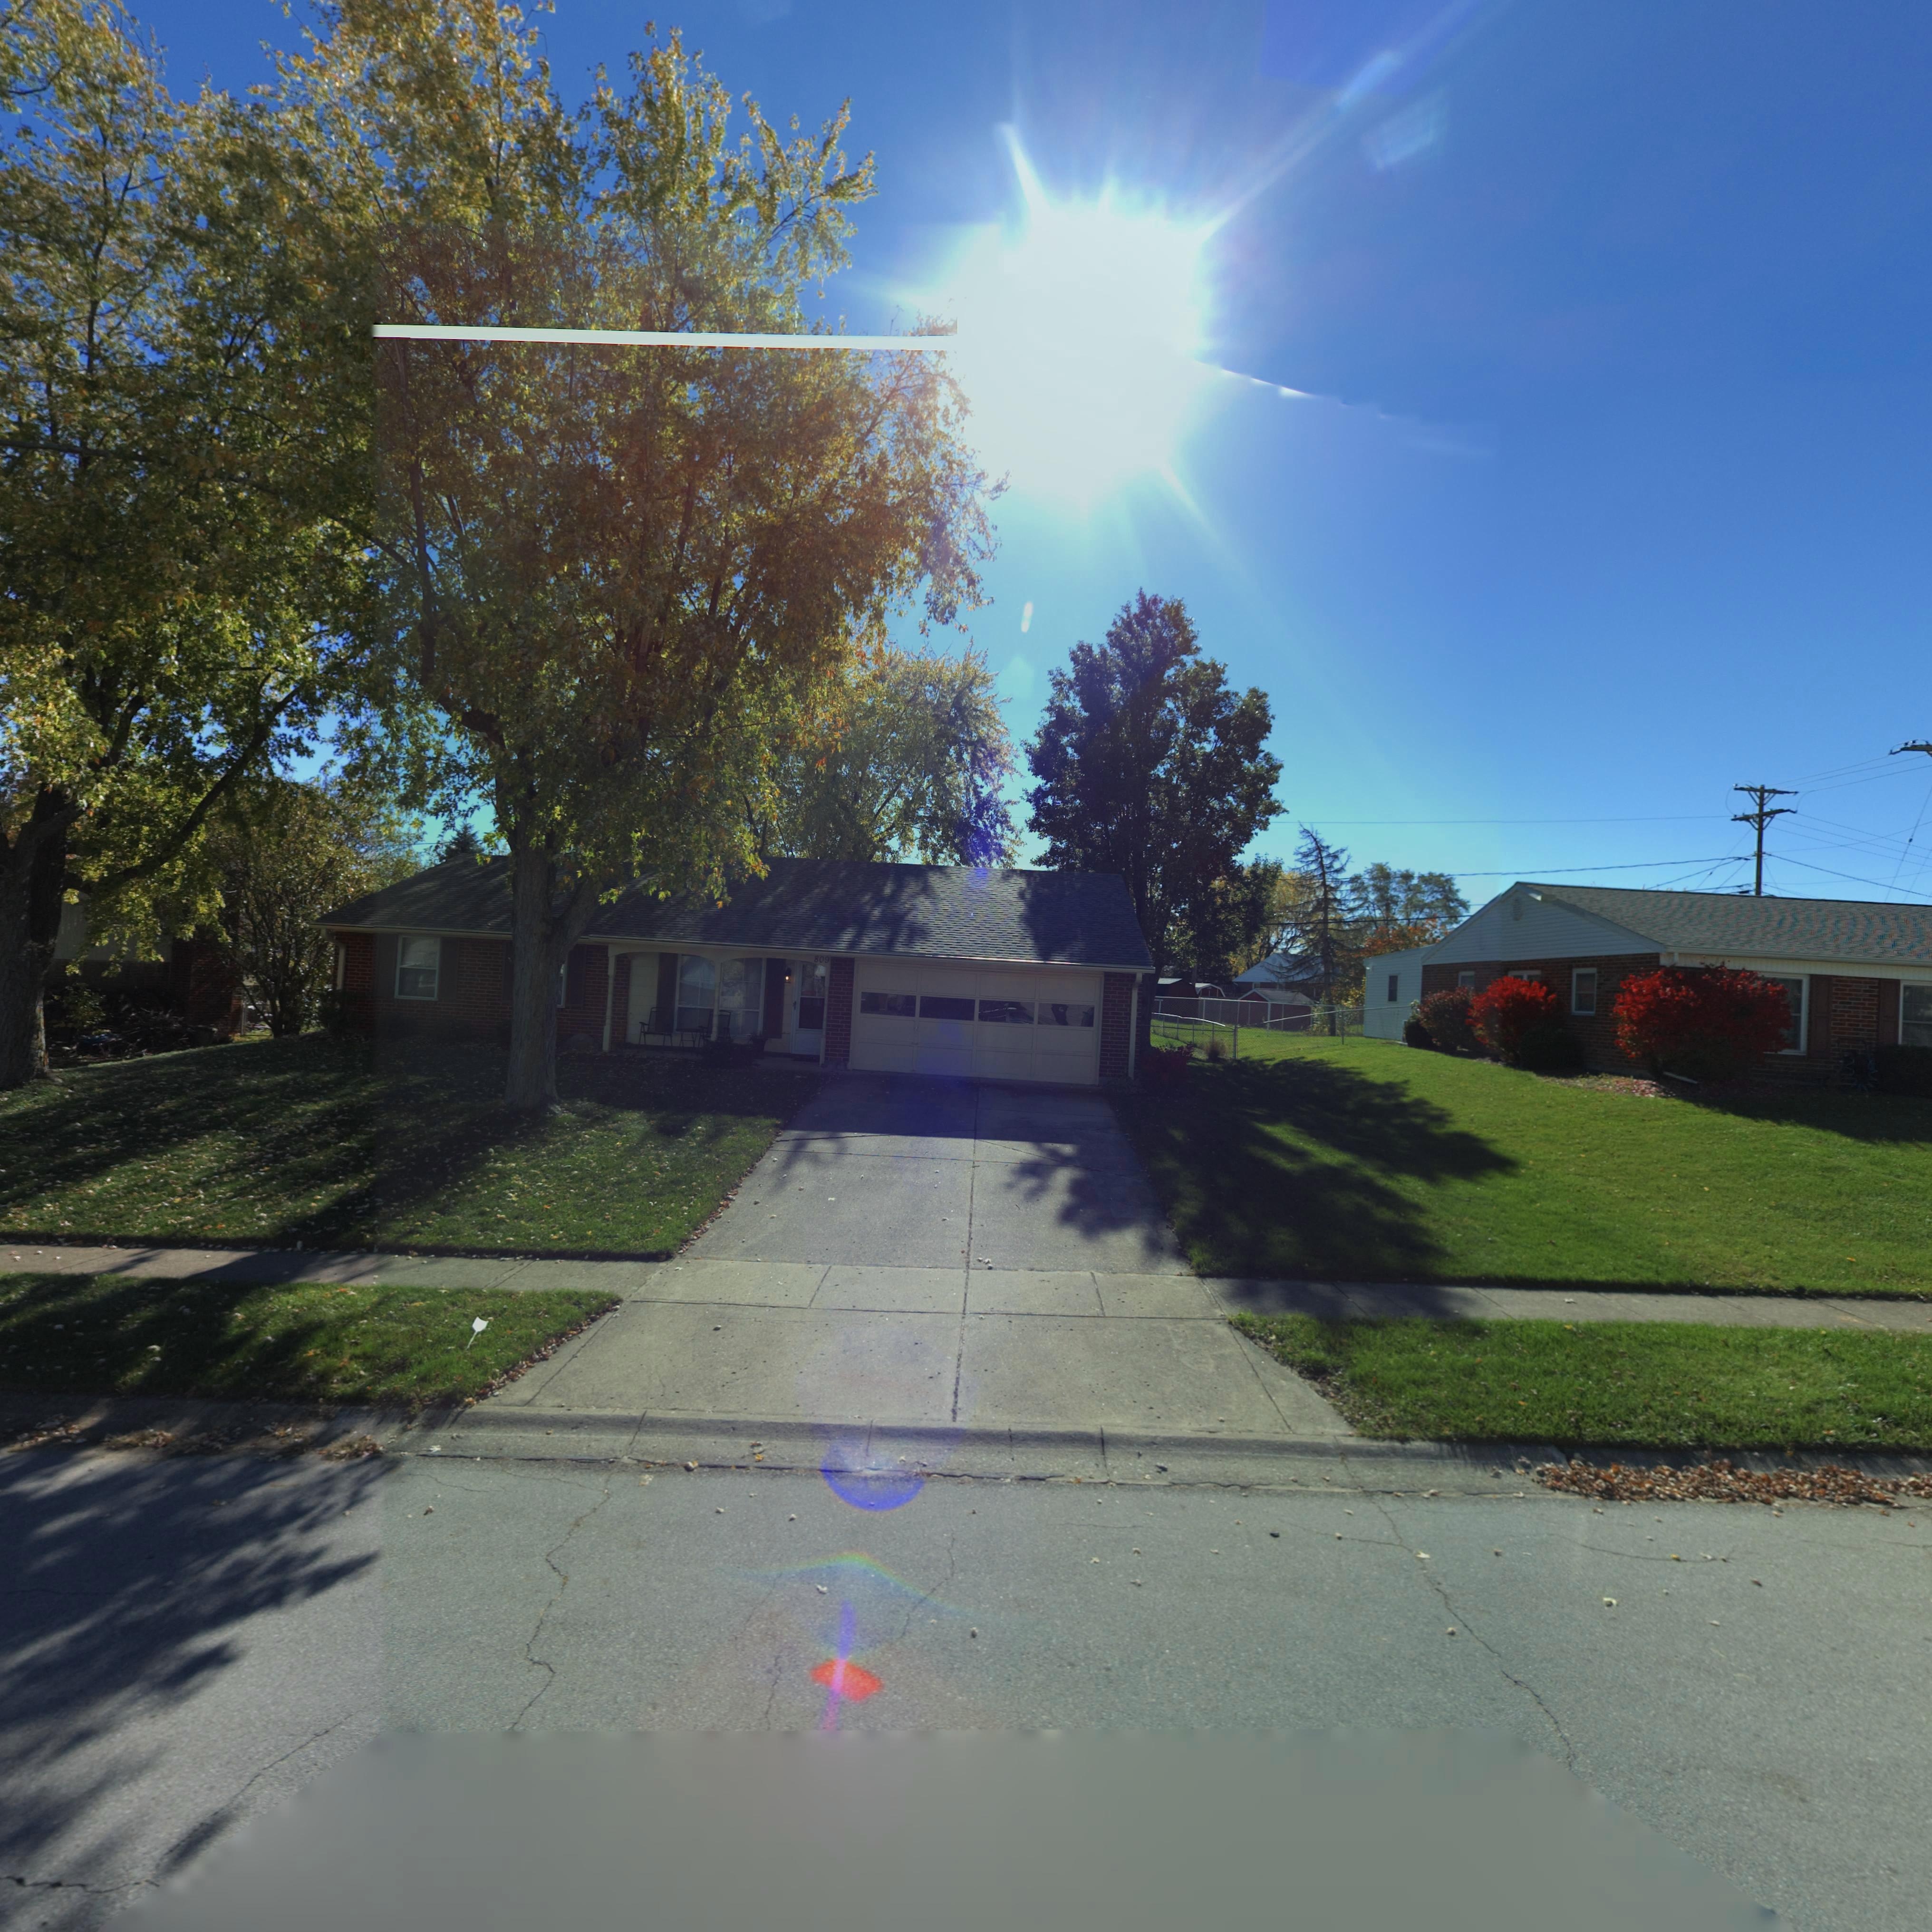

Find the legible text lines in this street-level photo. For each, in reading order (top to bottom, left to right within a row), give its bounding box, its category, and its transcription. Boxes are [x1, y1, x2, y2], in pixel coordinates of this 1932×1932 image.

[813, 955, 830, 964] StreetNumber: 809